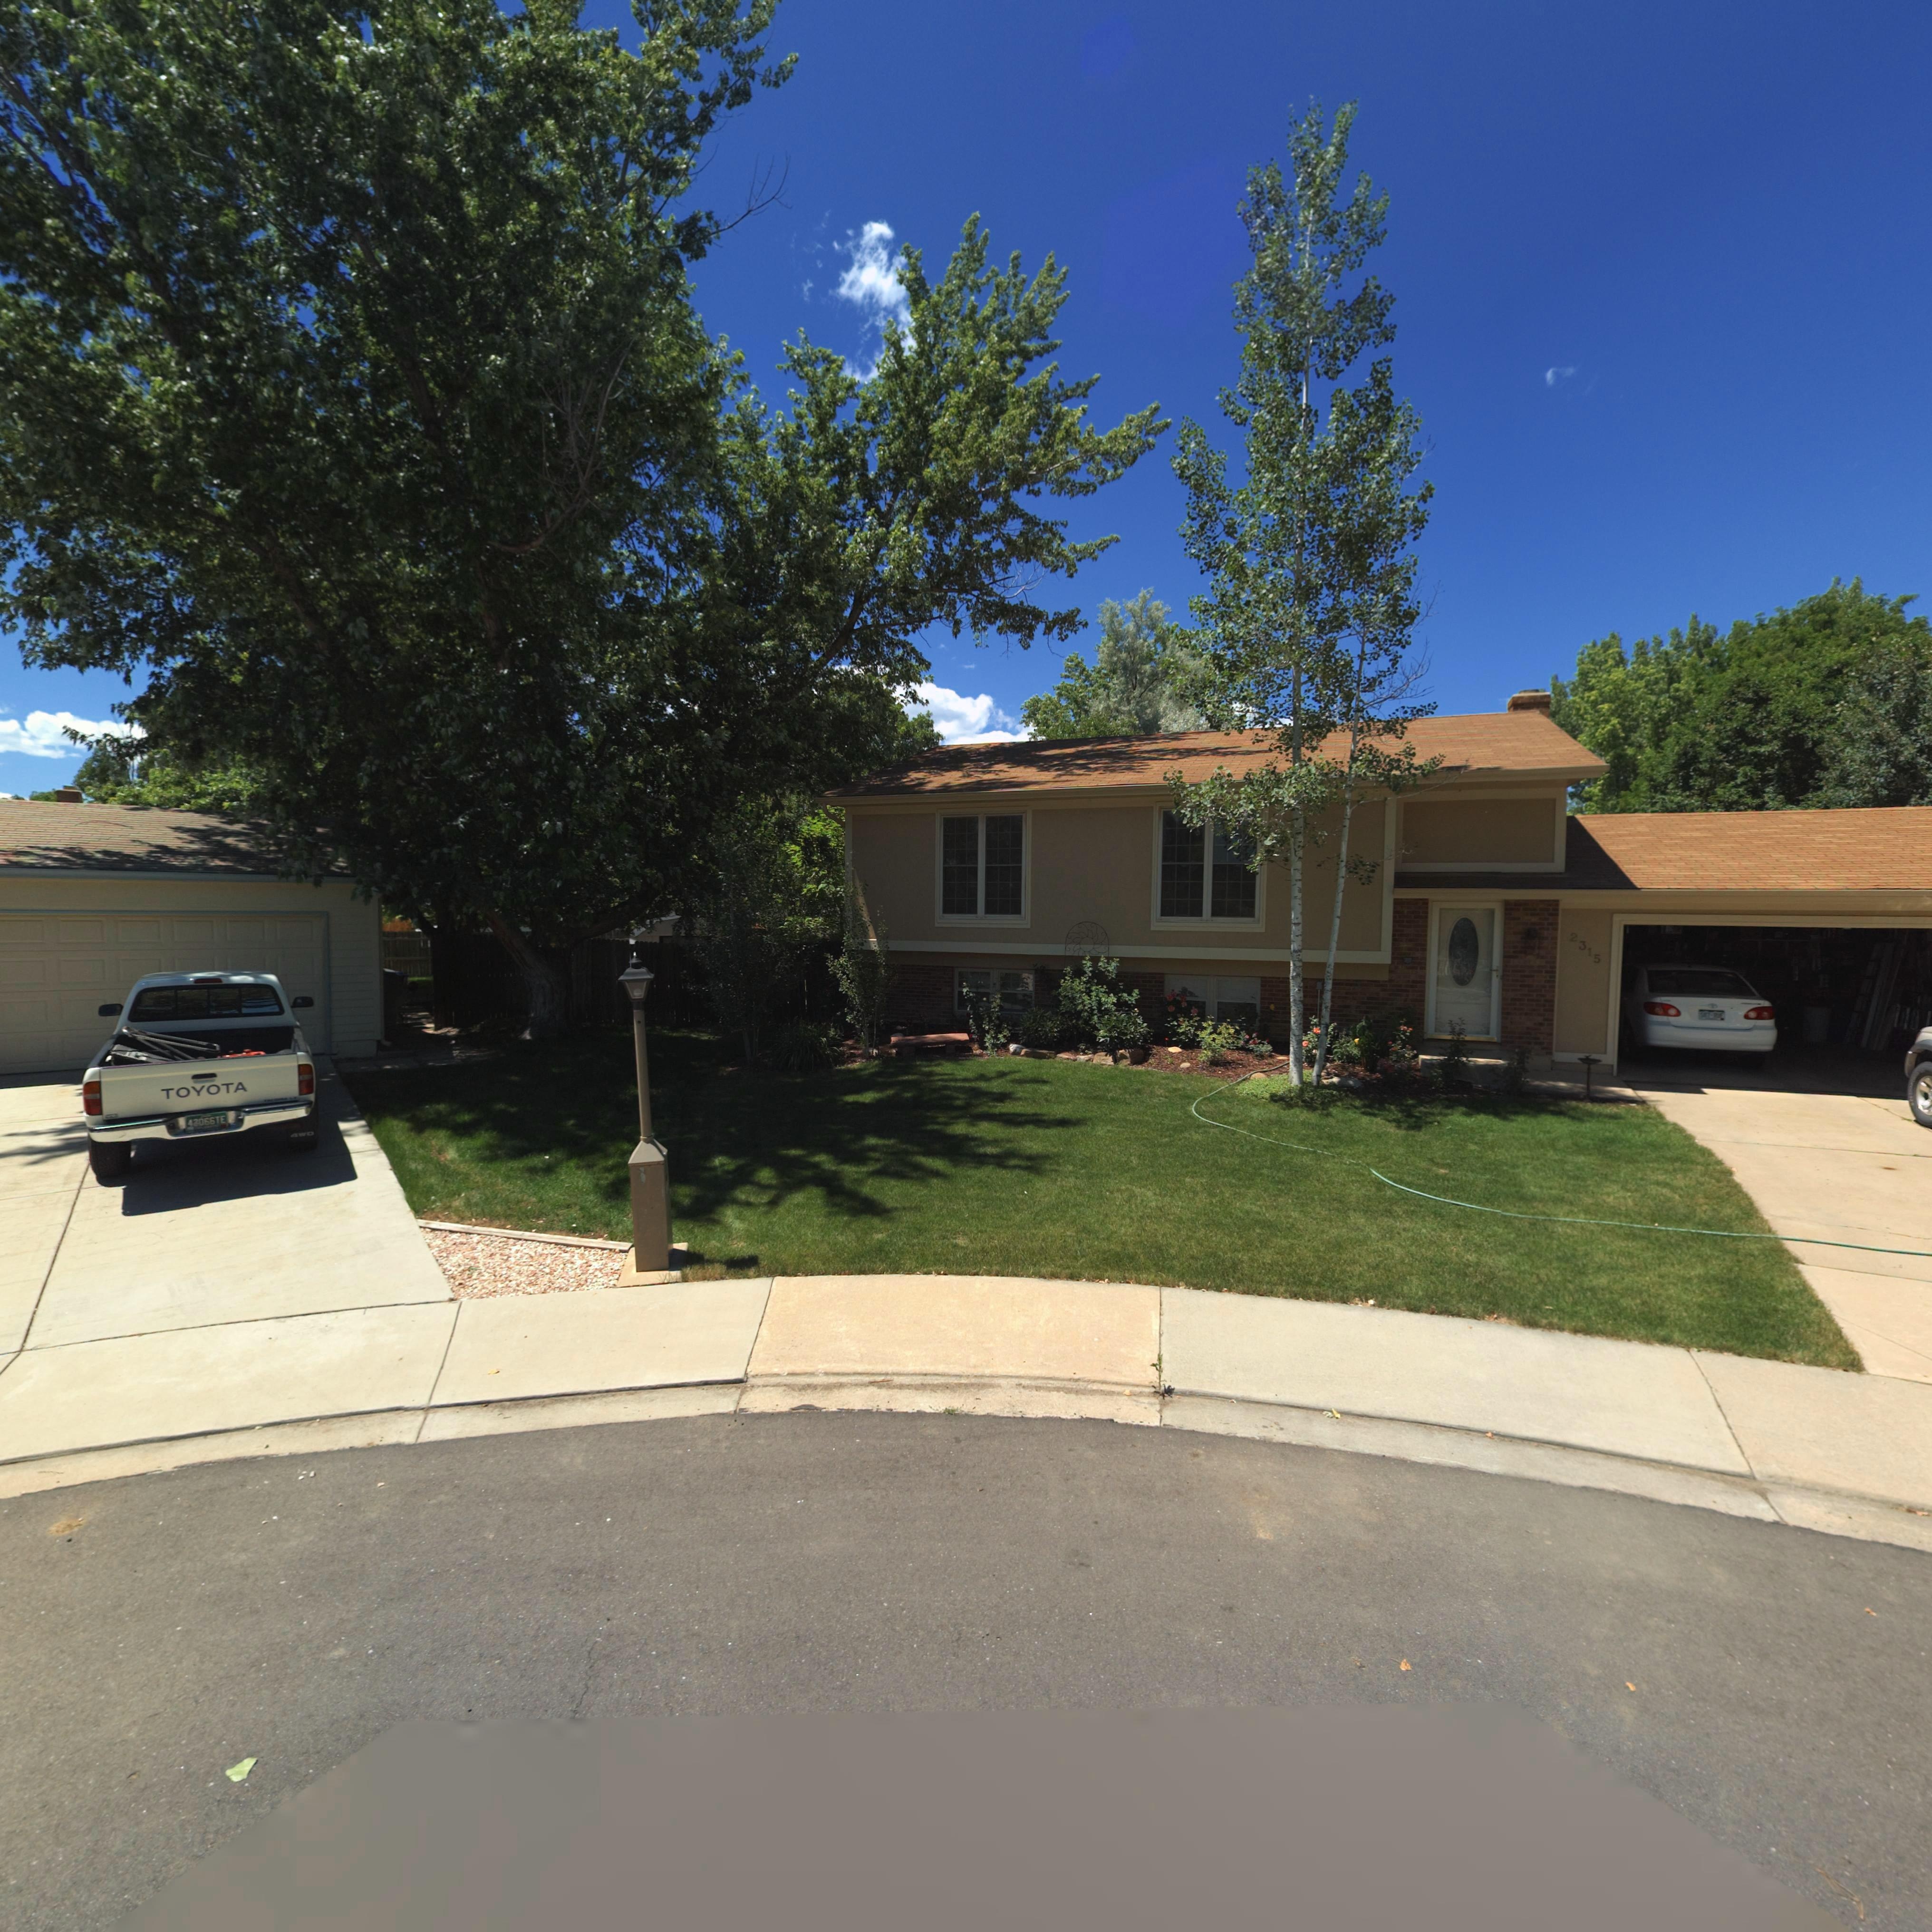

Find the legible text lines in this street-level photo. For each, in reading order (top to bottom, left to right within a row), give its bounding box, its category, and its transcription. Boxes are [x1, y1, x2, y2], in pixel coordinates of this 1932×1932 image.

[1569, 932, 1601, 964] StreetNumber: 2315